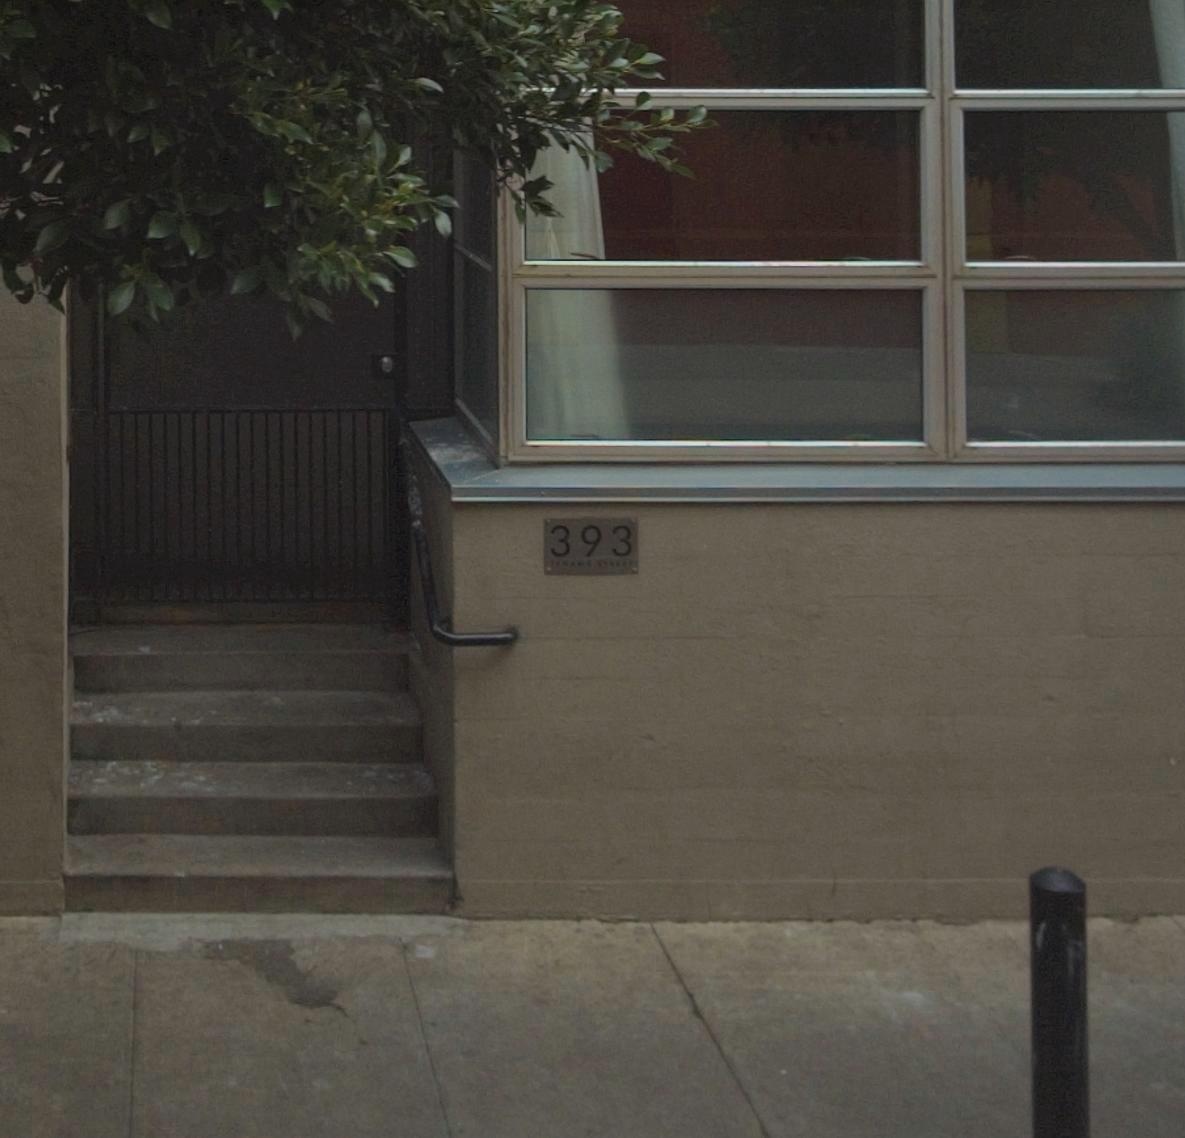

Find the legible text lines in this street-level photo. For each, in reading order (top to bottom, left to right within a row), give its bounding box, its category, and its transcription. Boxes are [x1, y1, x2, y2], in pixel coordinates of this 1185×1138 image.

[548, 522, 635, 561] StreetNumber: 393